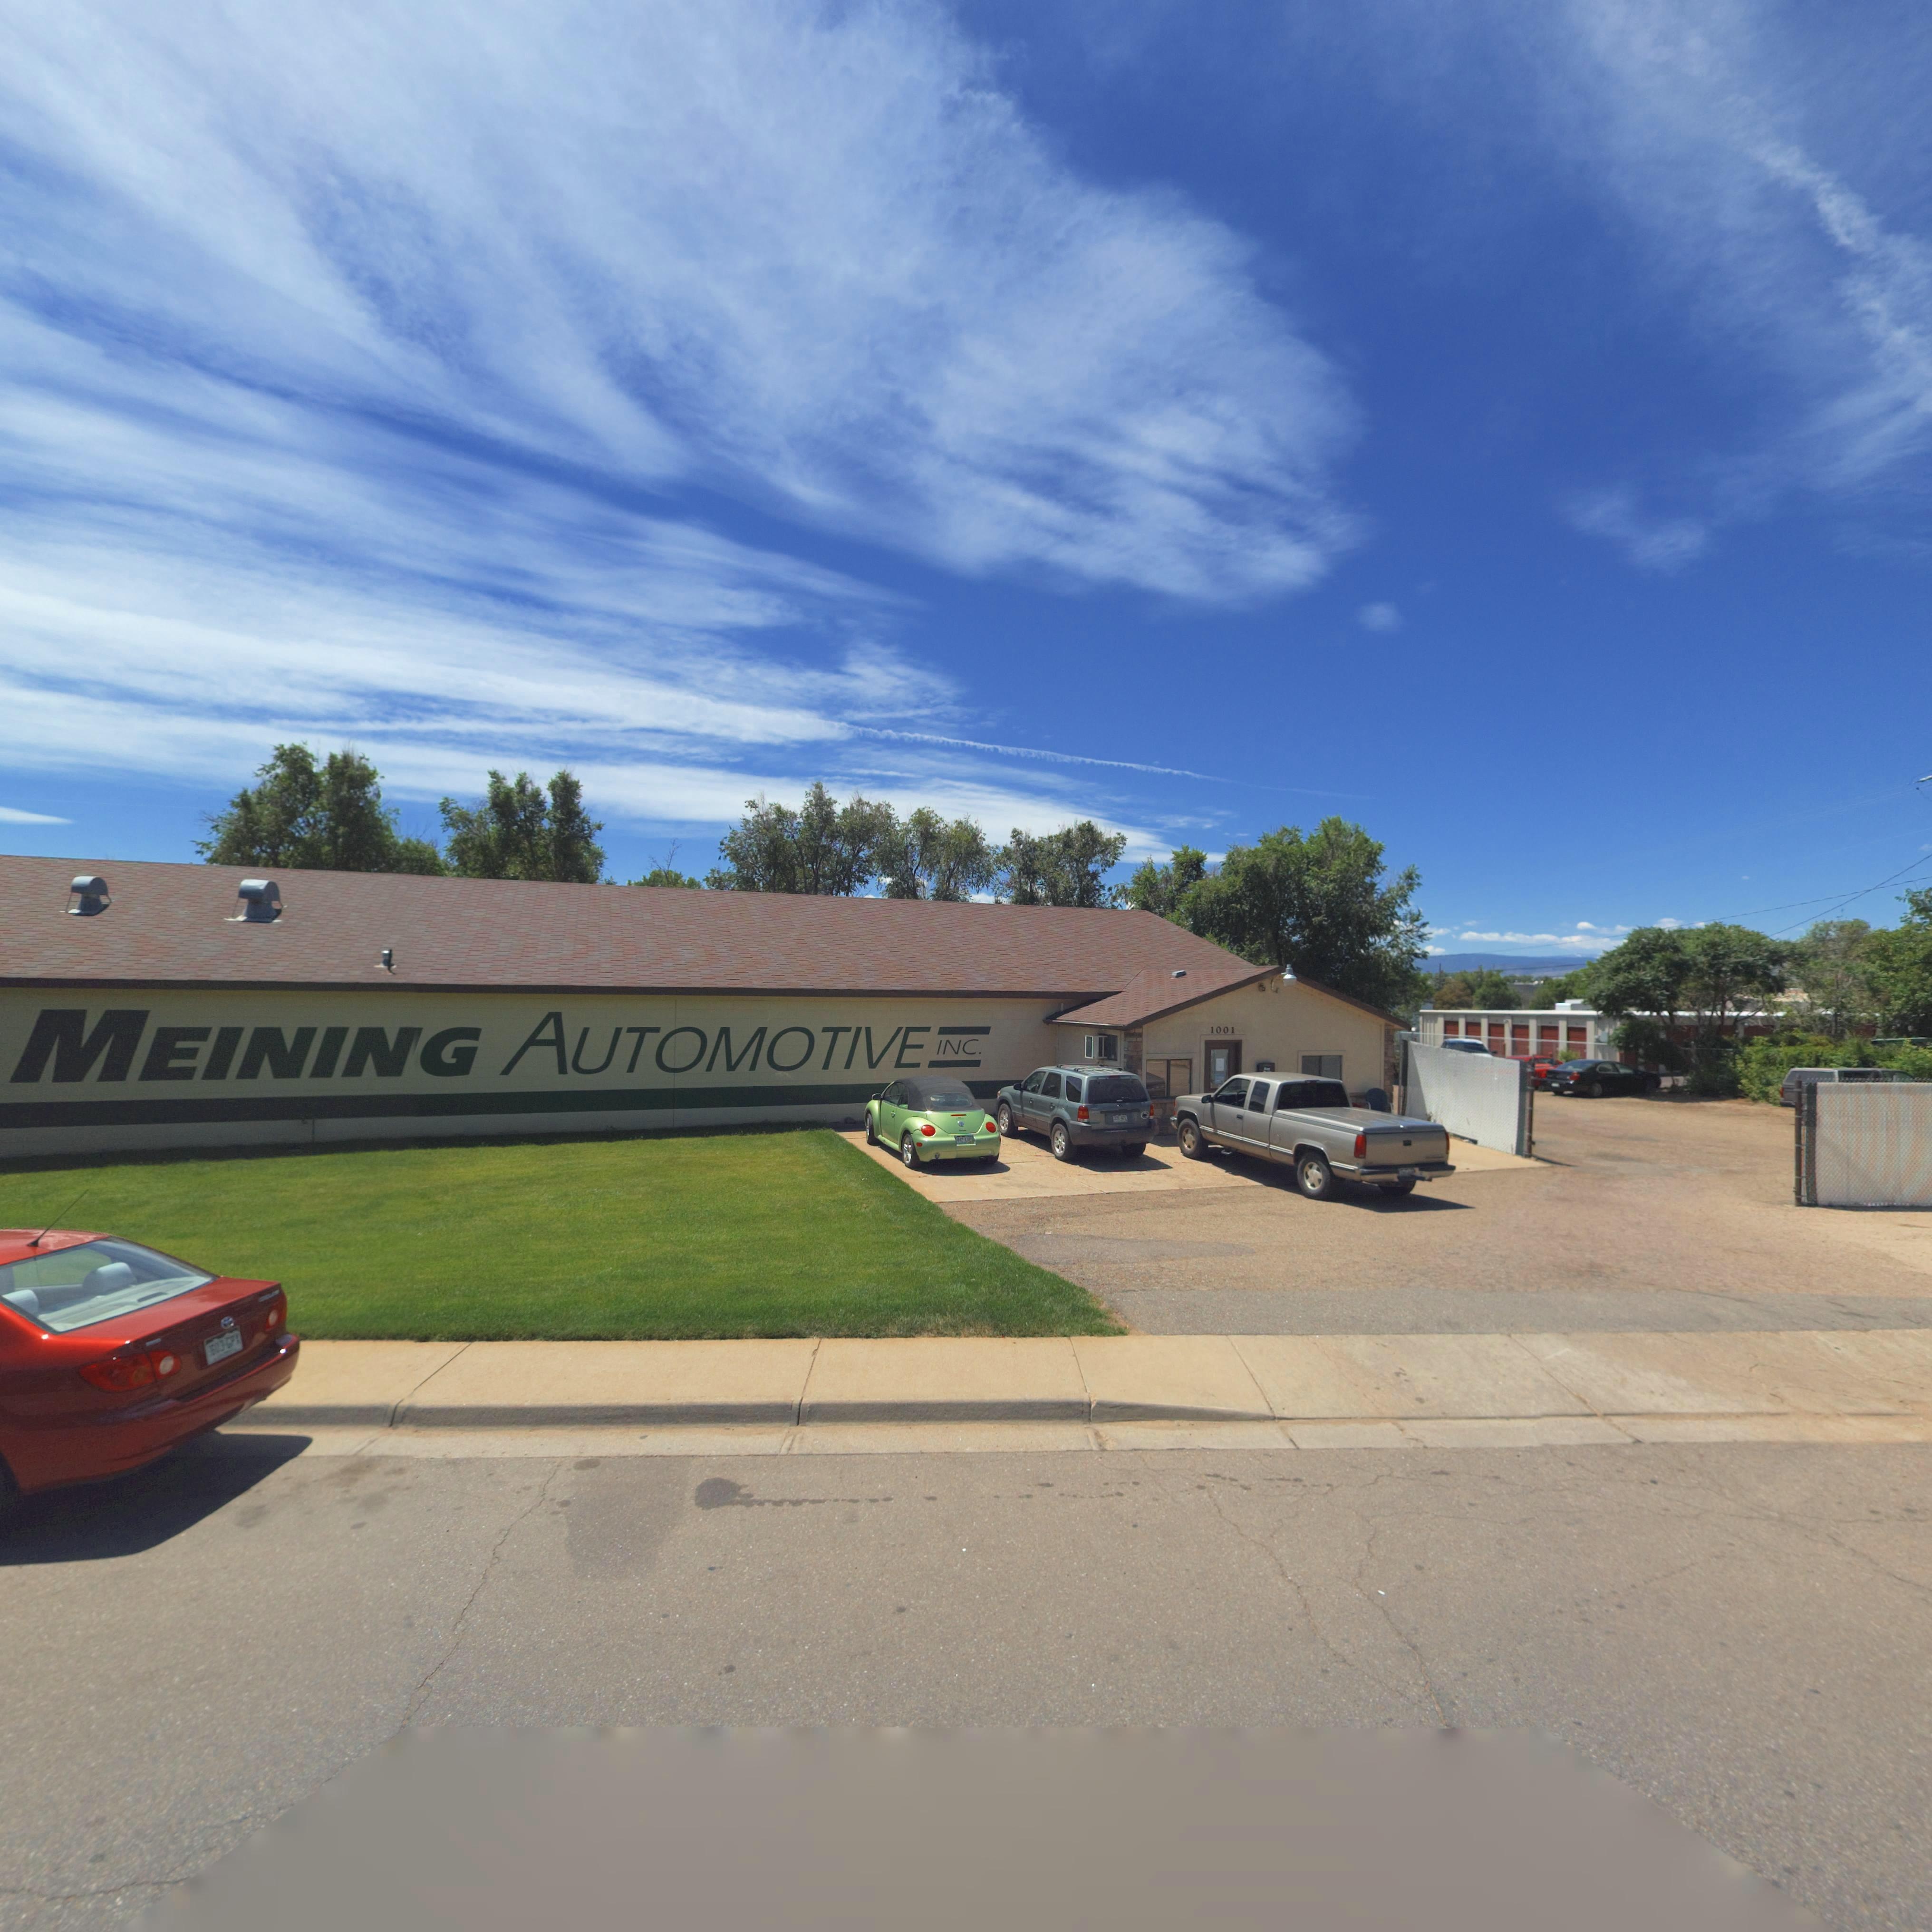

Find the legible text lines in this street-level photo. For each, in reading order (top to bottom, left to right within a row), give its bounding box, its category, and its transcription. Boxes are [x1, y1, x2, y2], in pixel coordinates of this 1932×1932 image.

[6, 1005, 983, 1084] BusinessName: MEINING AUTOMOTIVE INC.
[1209, 1025, 1235, 1034] StreetNumber: 1001